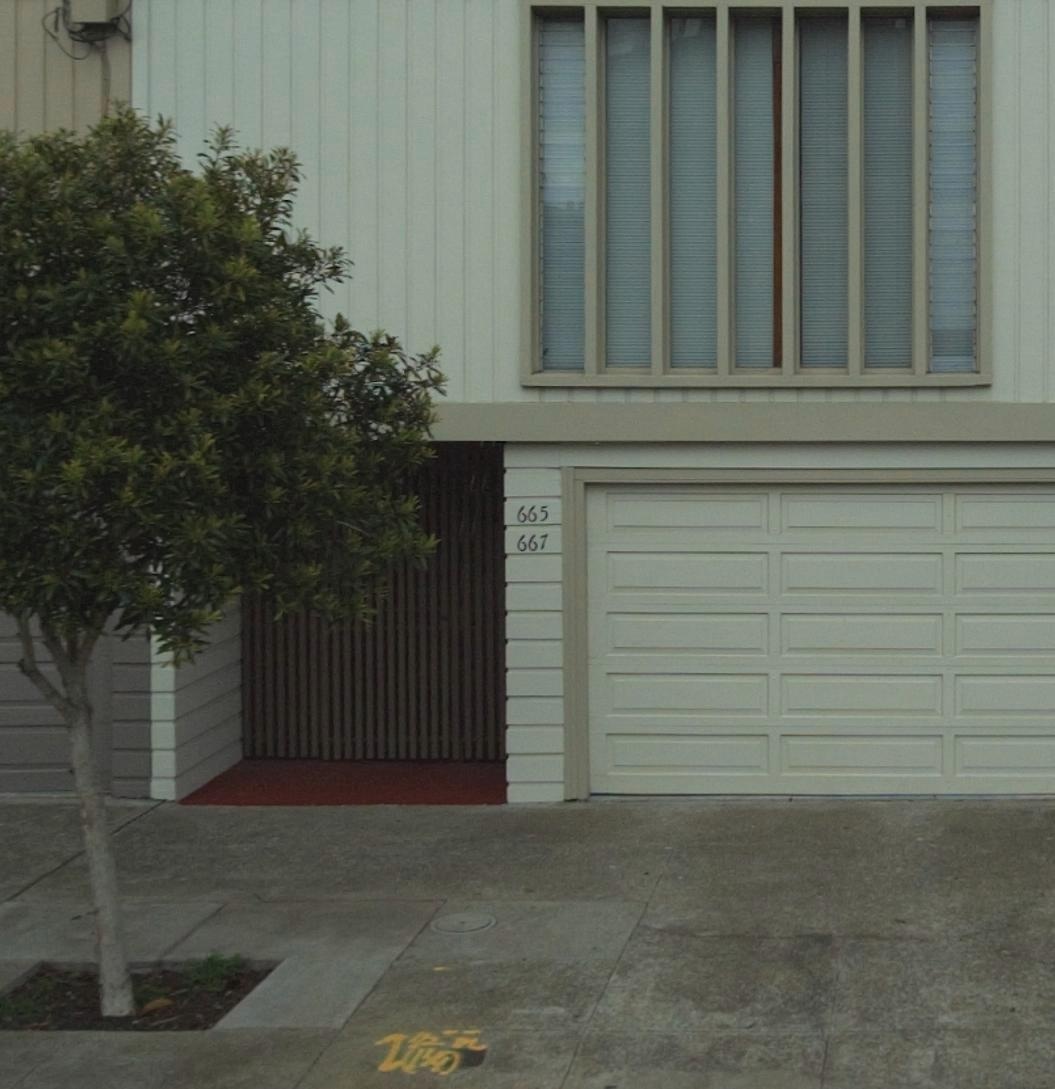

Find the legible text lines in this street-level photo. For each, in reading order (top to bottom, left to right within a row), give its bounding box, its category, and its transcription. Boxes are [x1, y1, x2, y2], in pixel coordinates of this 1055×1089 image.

[516, 505, 549, 524] StreetNumber: 665
[516, 532, 549, 552] StreetNumber: 667